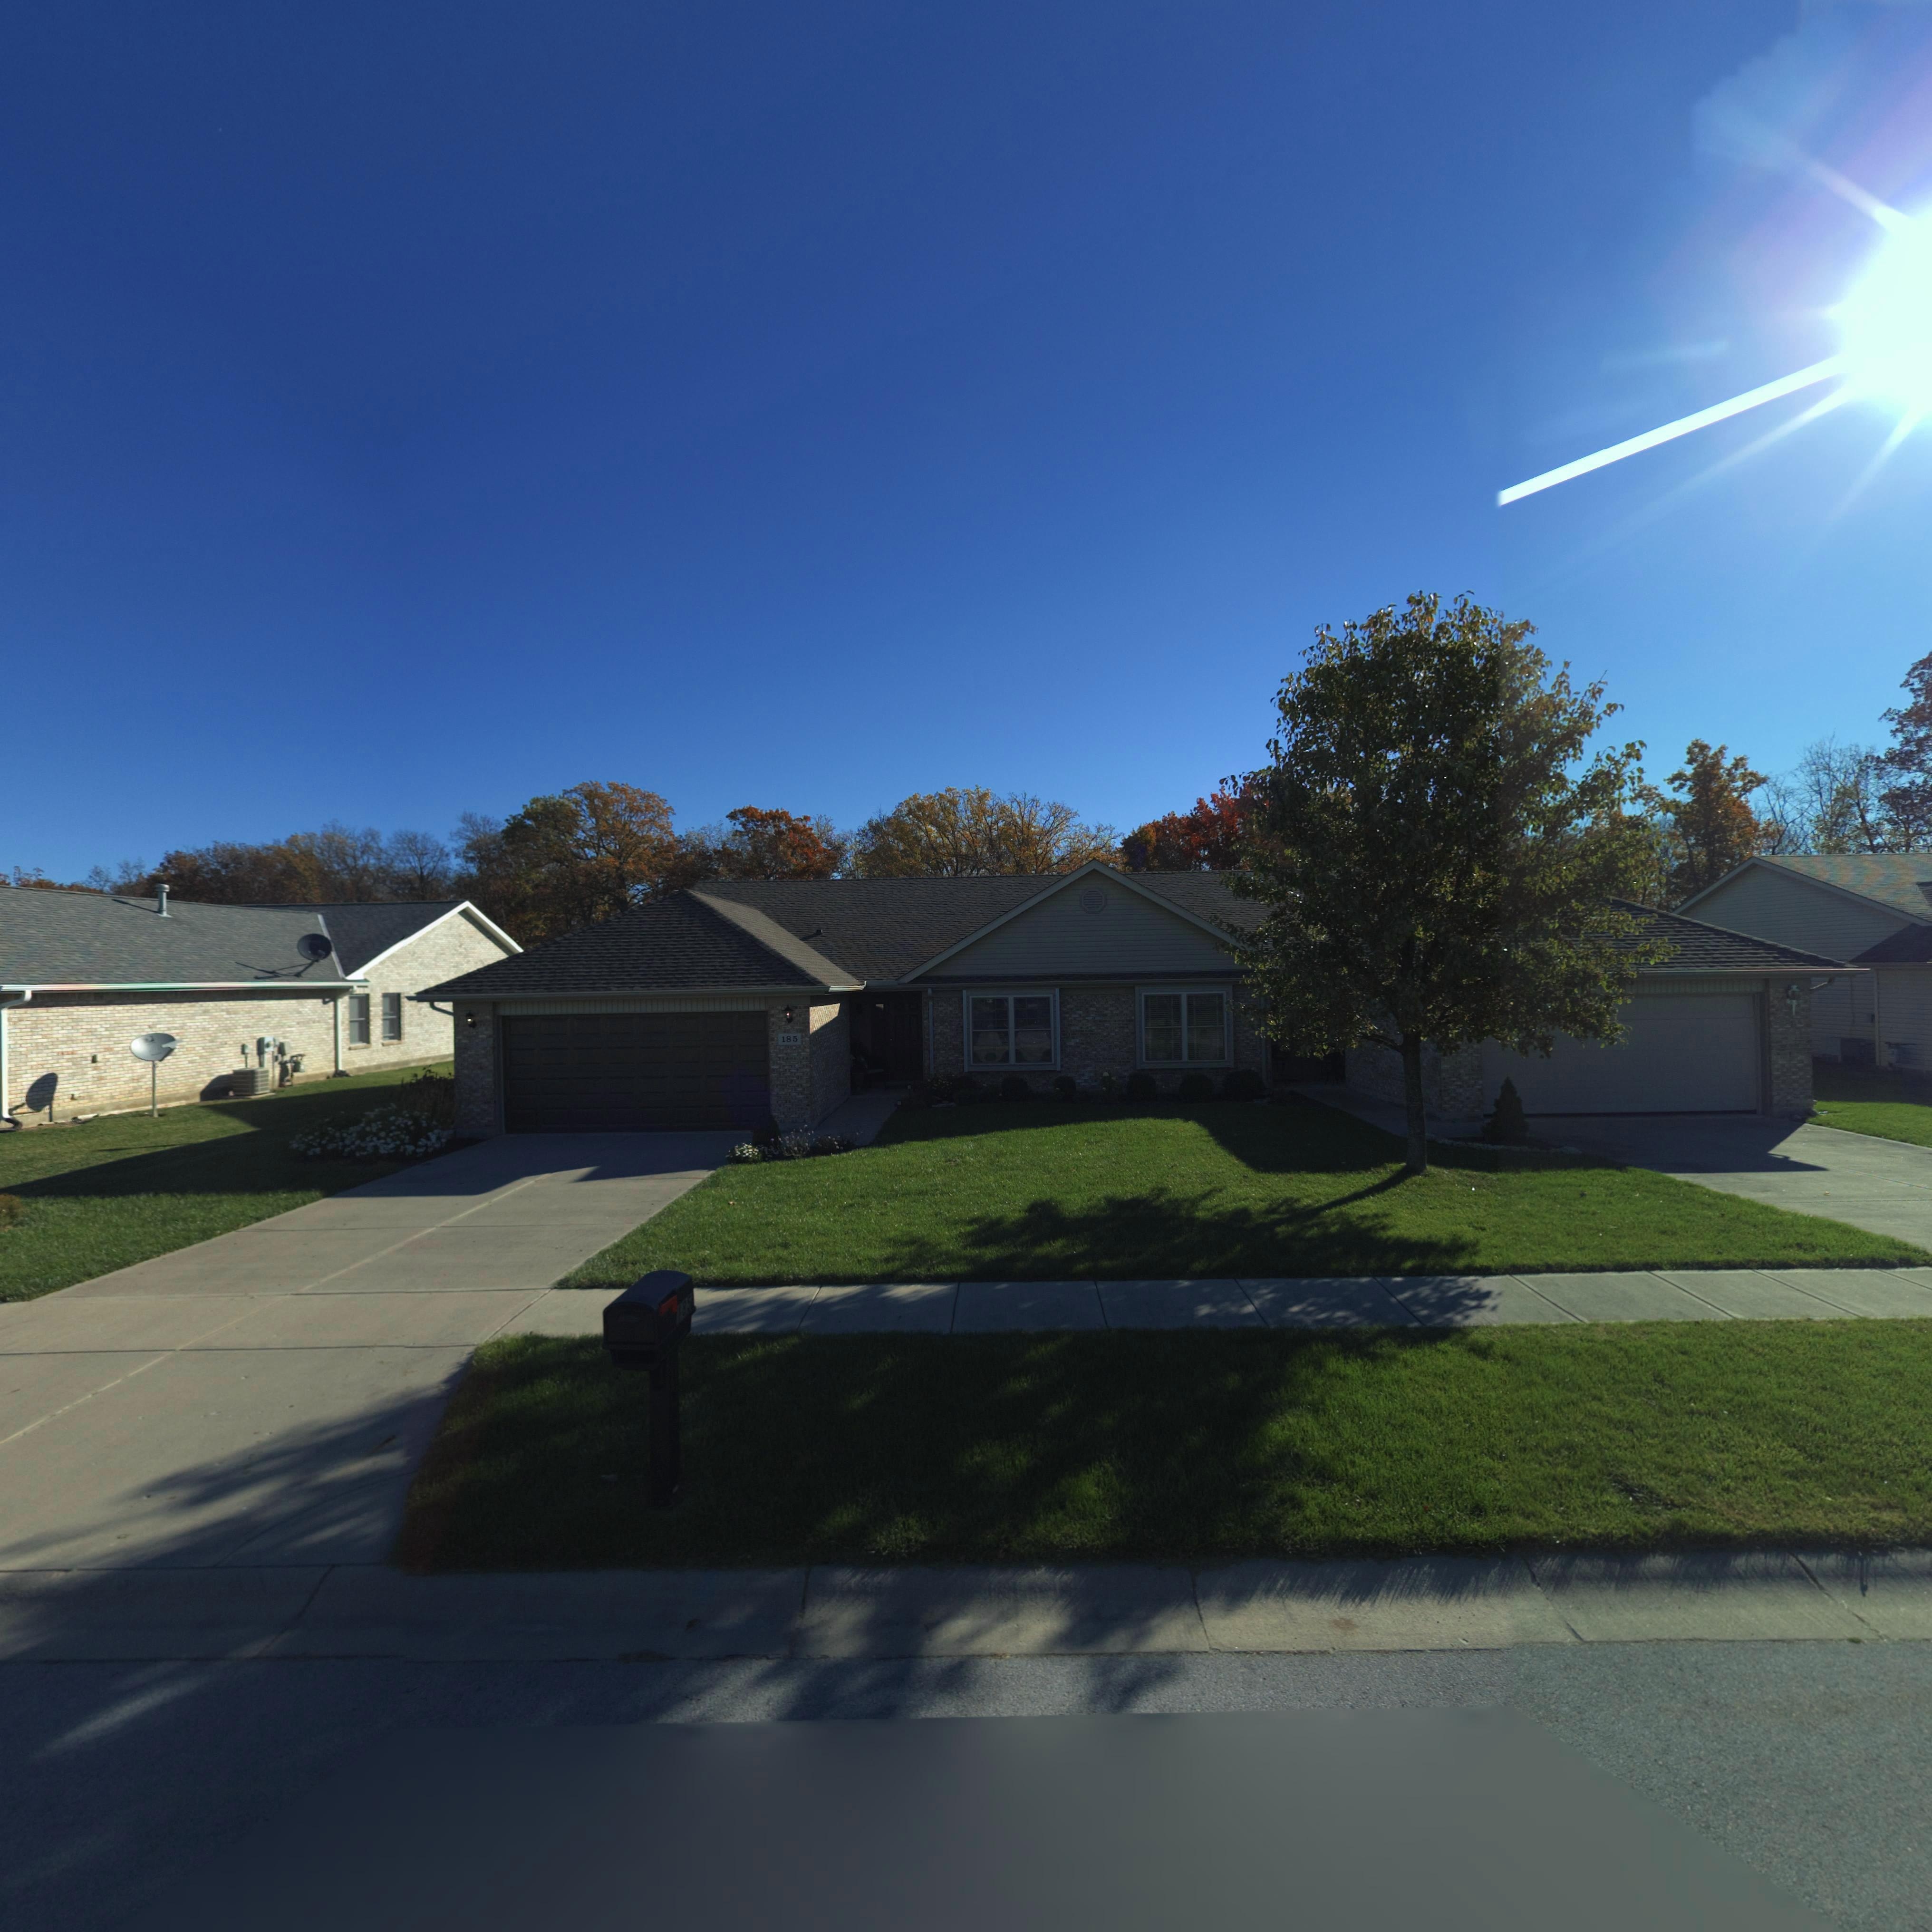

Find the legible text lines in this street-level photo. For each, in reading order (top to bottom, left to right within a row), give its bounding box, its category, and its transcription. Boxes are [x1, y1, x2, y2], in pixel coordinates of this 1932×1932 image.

[781, 1035, 798, 1043] StreetNumber: 185